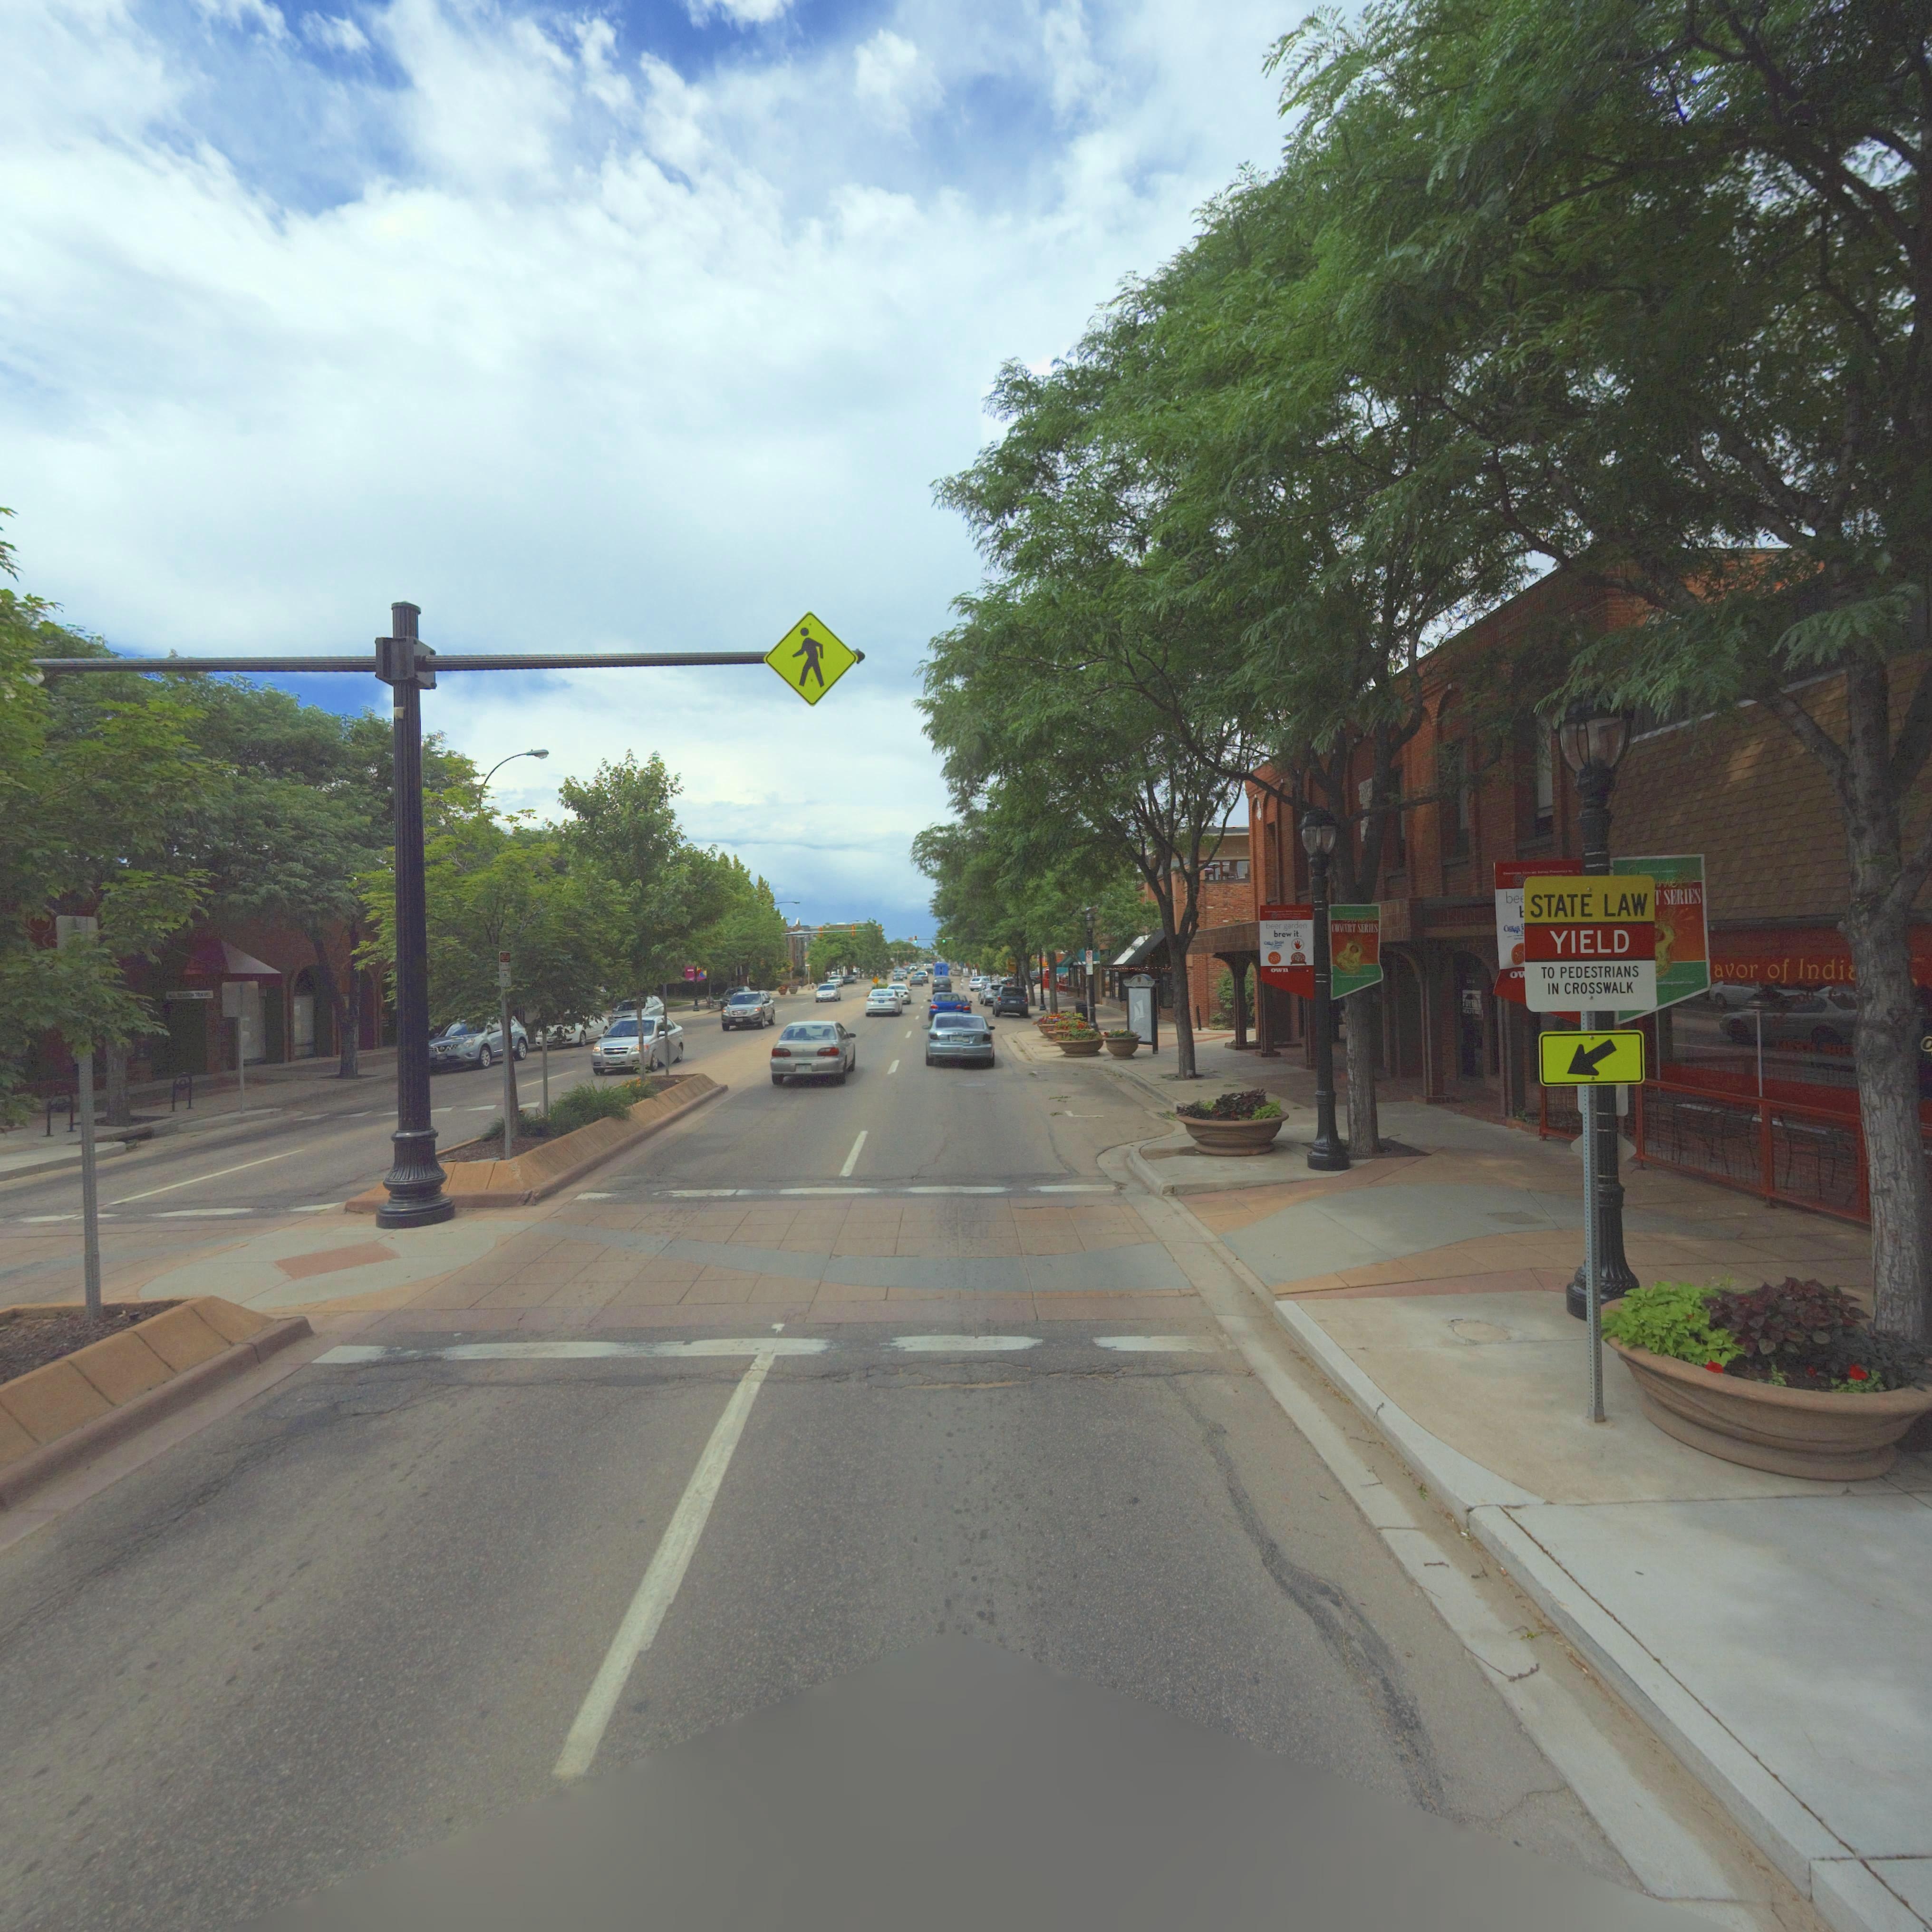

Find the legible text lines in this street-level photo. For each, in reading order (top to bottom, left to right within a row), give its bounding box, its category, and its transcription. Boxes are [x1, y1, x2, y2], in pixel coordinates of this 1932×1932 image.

[1712, 955, 1849, 985] BusinessName: avor of India